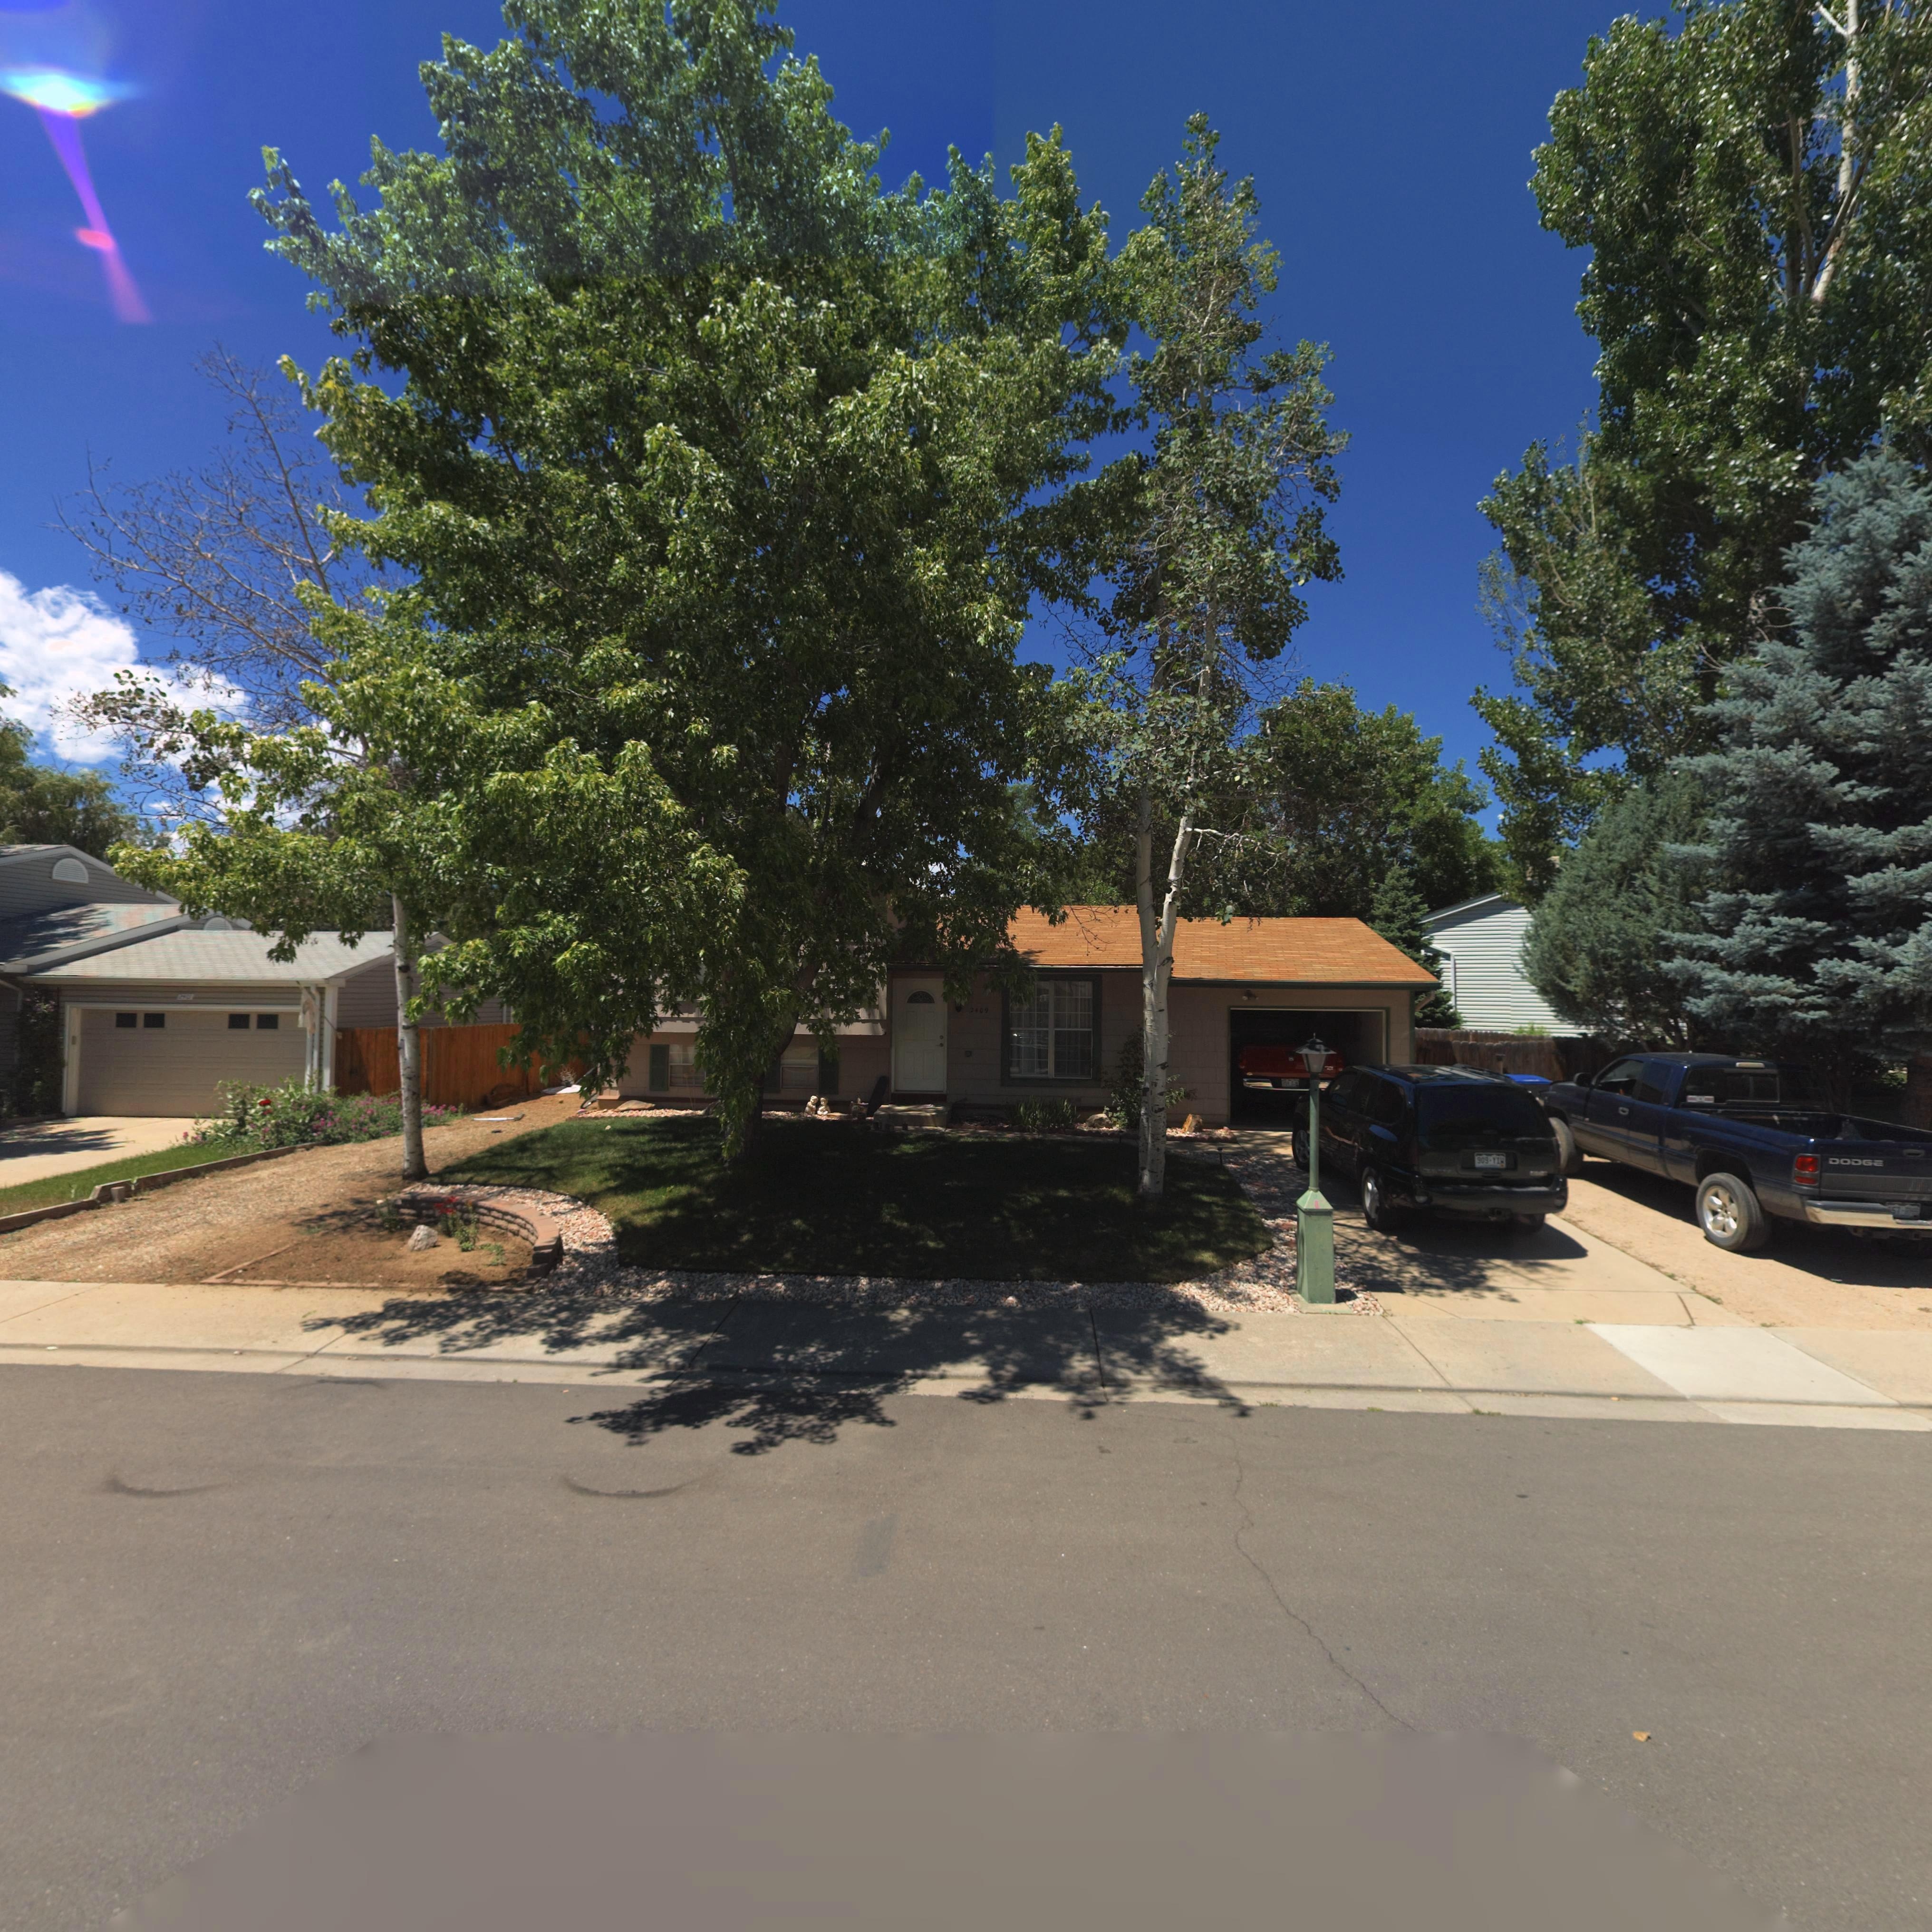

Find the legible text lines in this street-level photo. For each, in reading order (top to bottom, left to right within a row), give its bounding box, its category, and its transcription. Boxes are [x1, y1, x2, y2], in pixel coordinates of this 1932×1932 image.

[176, 994, 192, 999] StreetNumber: 24**
[970, 1007, 989, 1014] StreetNumber: 2409